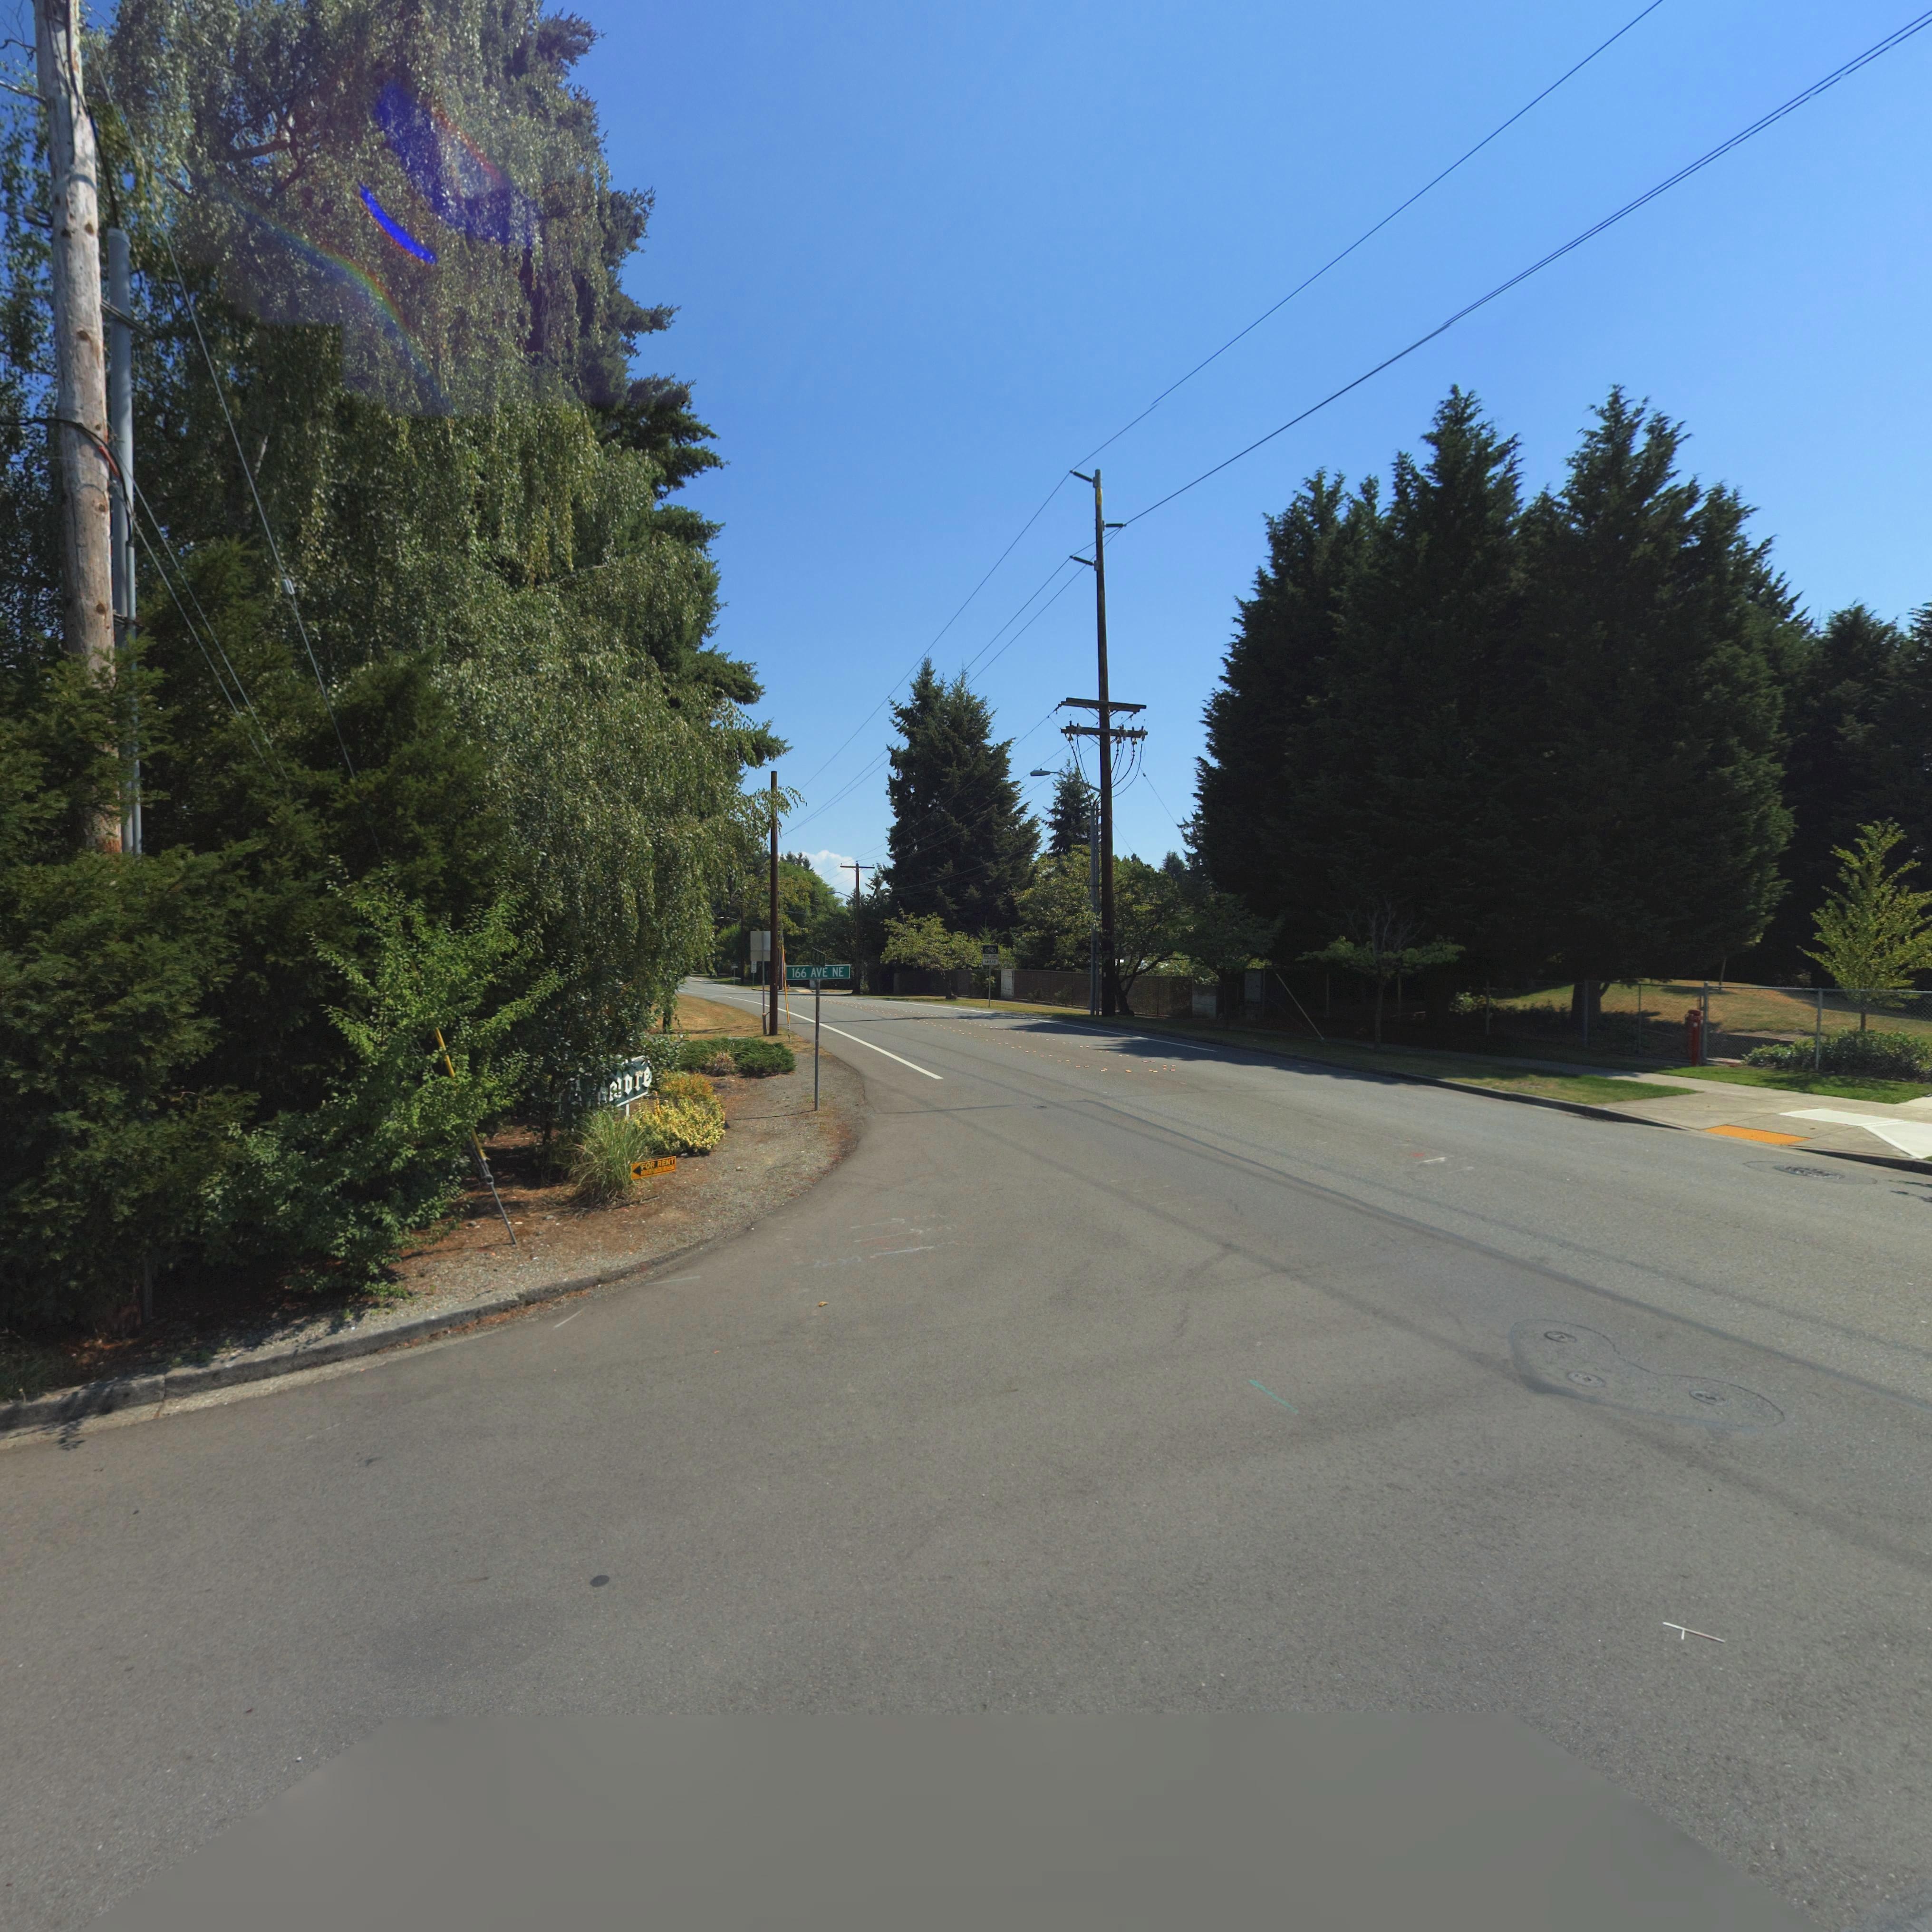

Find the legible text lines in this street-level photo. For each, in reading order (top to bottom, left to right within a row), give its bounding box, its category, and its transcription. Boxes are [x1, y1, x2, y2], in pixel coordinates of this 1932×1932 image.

[791, 967, 843, 977] StreetName: 166 AVE NE